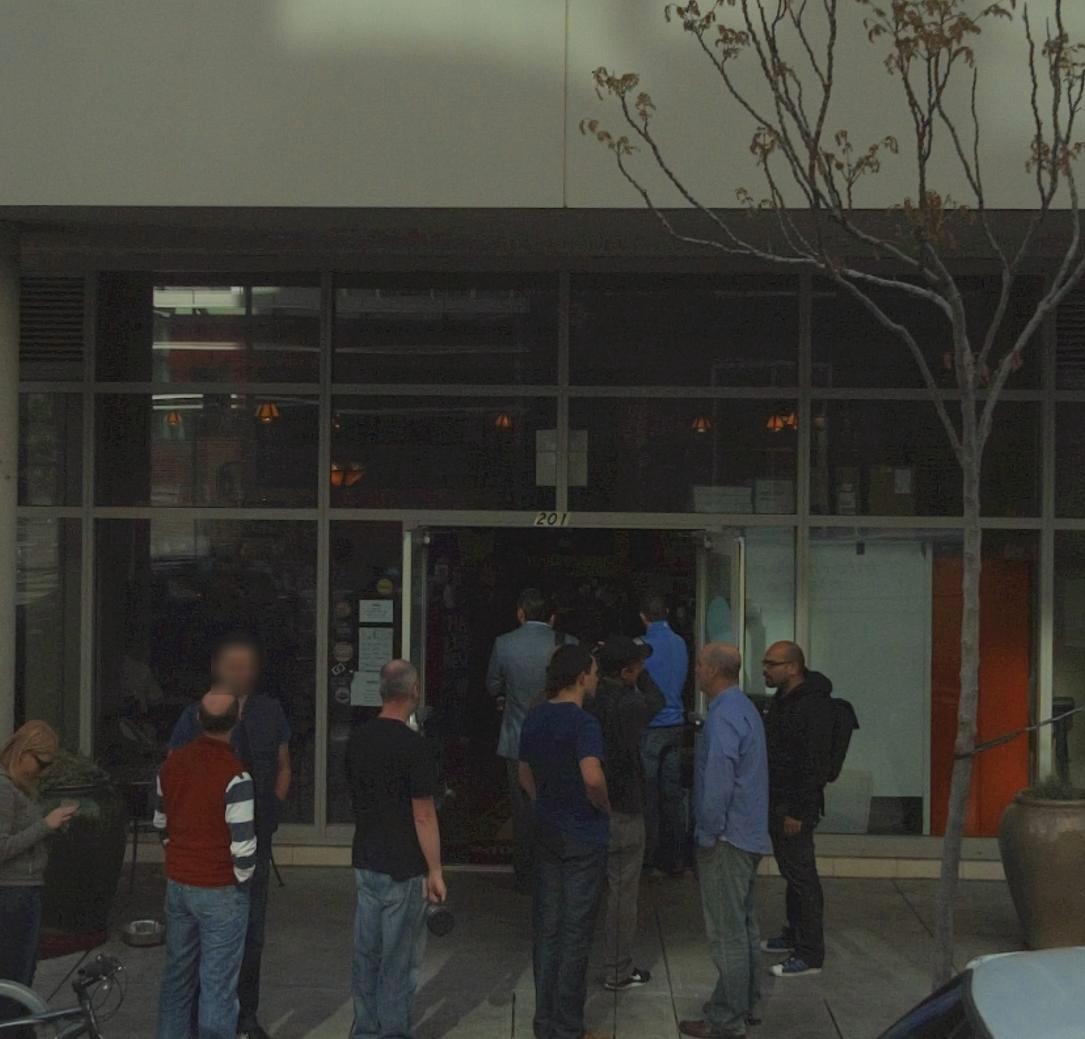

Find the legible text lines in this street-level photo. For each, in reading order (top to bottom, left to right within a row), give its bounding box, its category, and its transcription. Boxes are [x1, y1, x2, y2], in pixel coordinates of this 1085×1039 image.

[531, 510, 572, 528] StreetNumber: 201